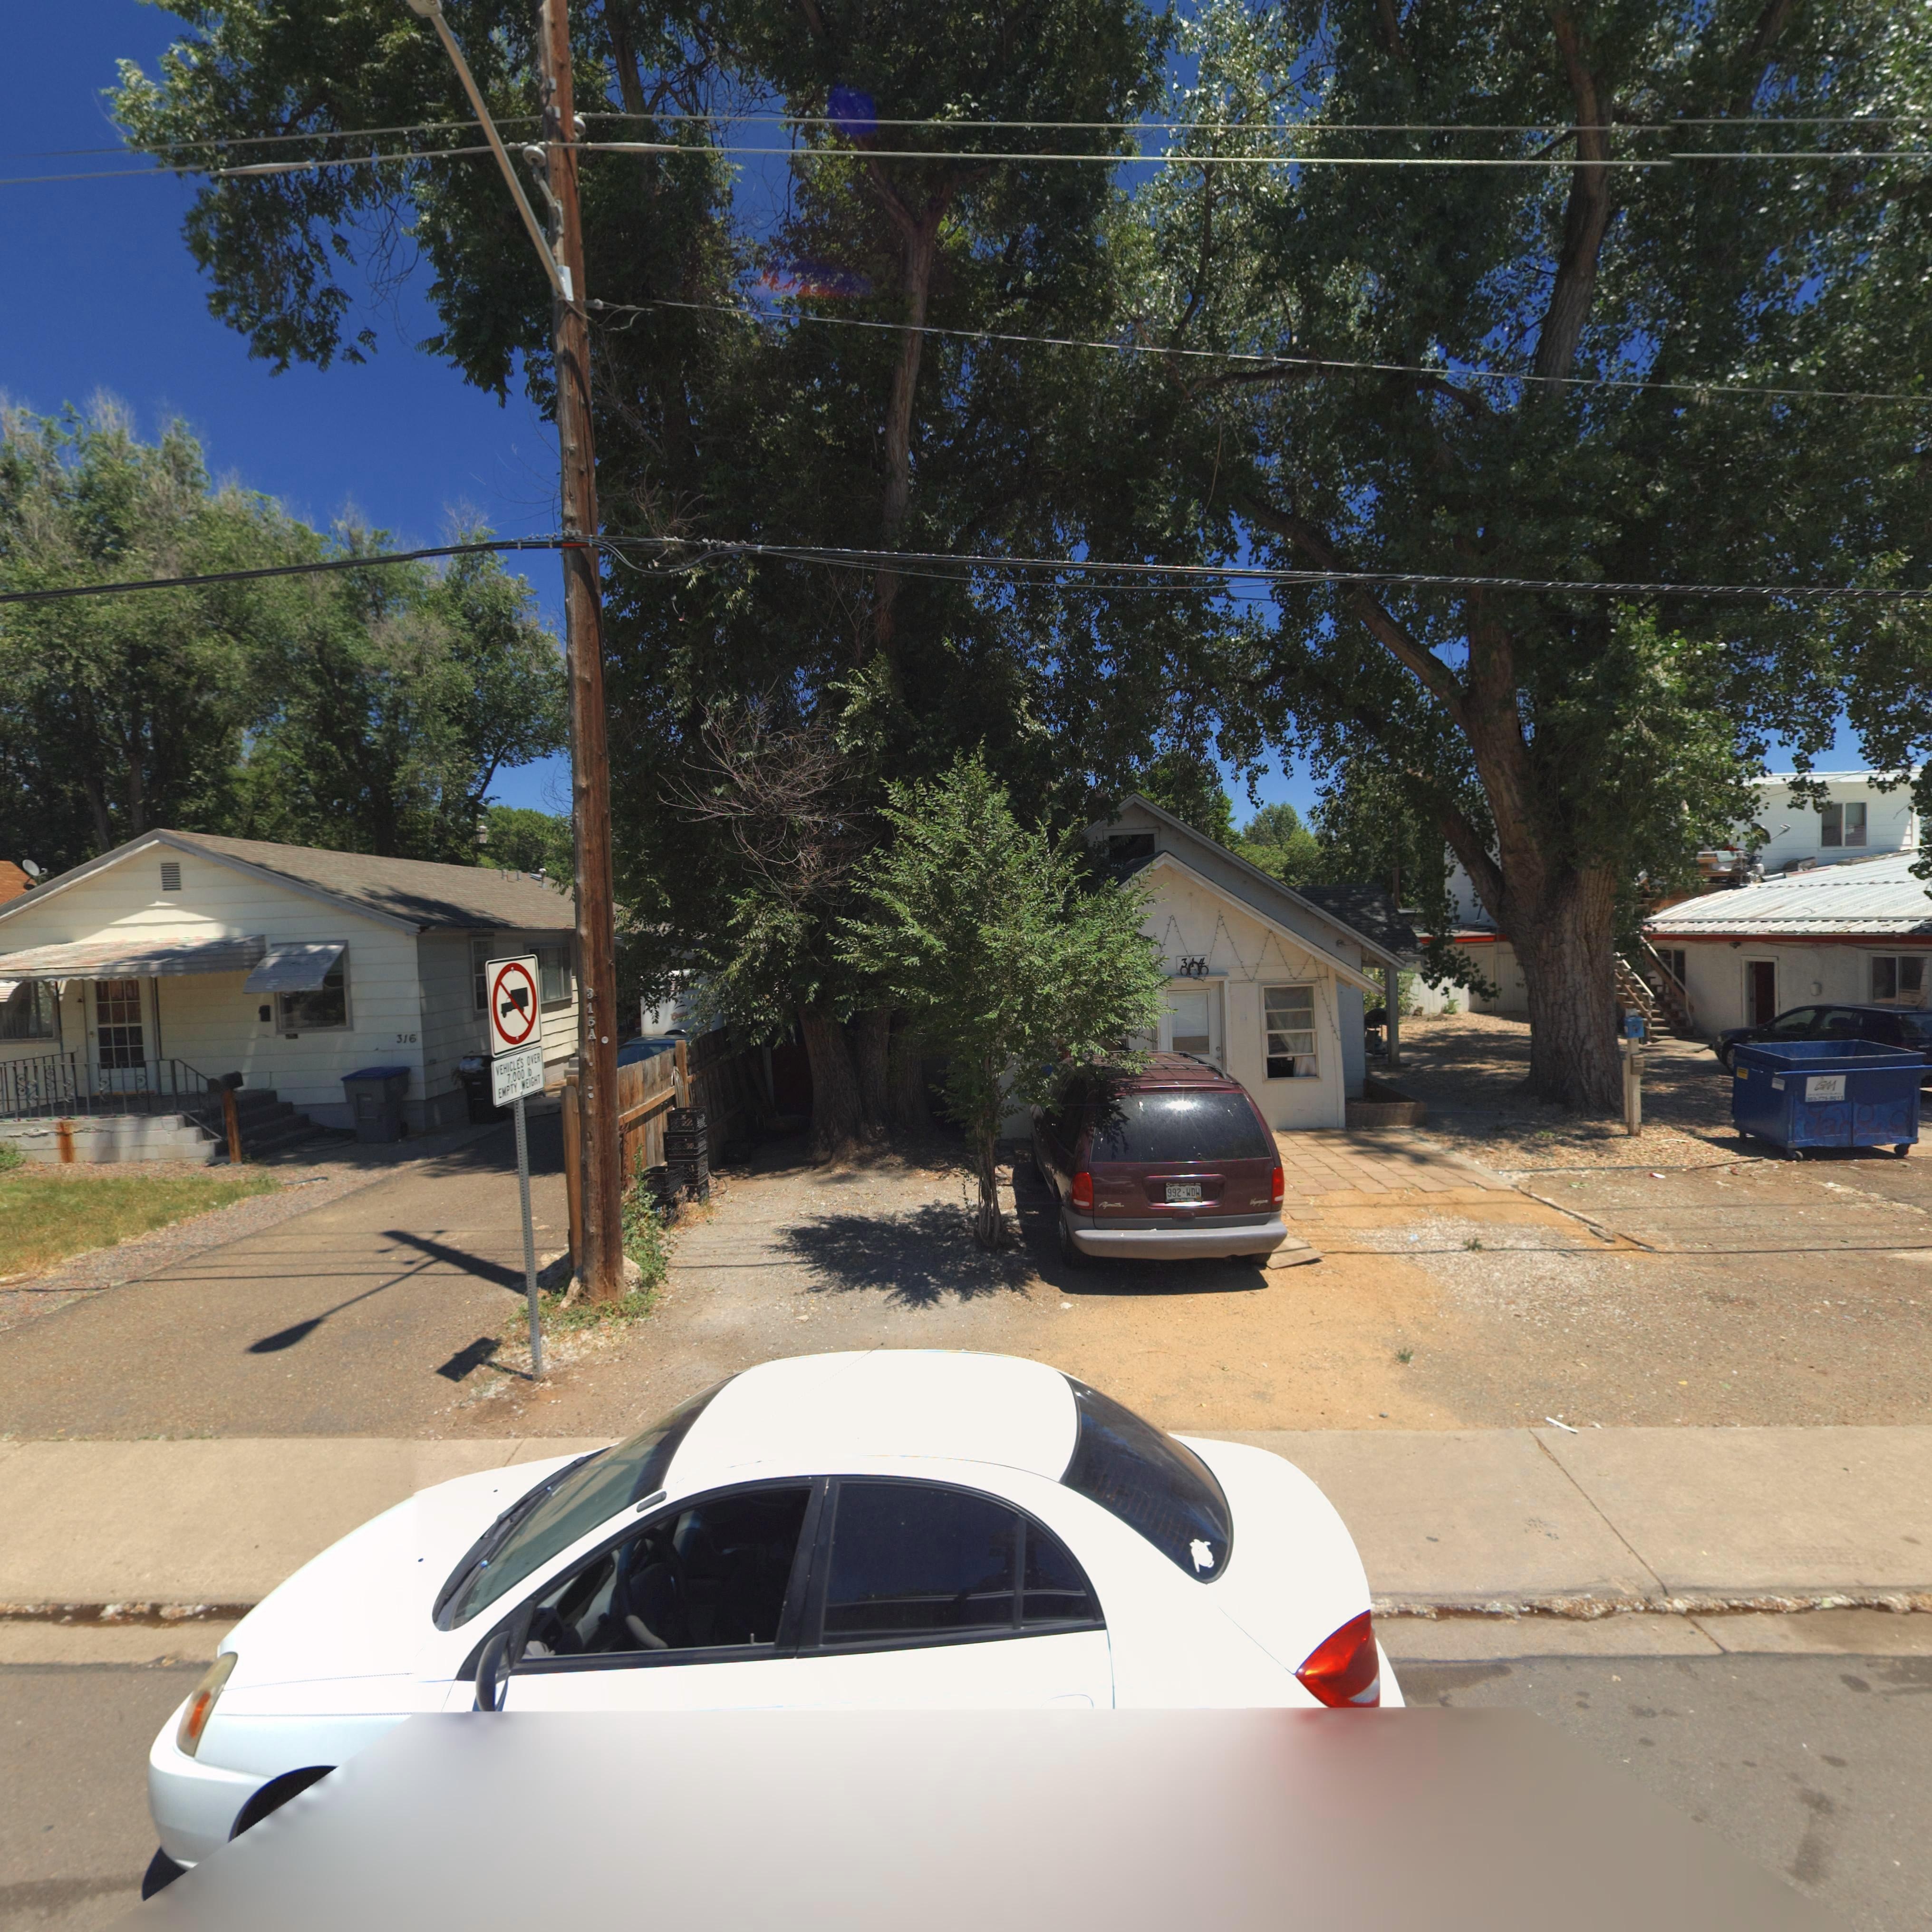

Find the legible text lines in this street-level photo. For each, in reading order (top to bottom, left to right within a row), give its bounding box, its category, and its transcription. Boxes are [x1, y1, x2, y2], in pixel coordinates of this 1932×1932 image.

[1181, 956, 1206, 968] StreetNumber: 3*4
[396, 1033, 417, 1043] StreetNumber: 316